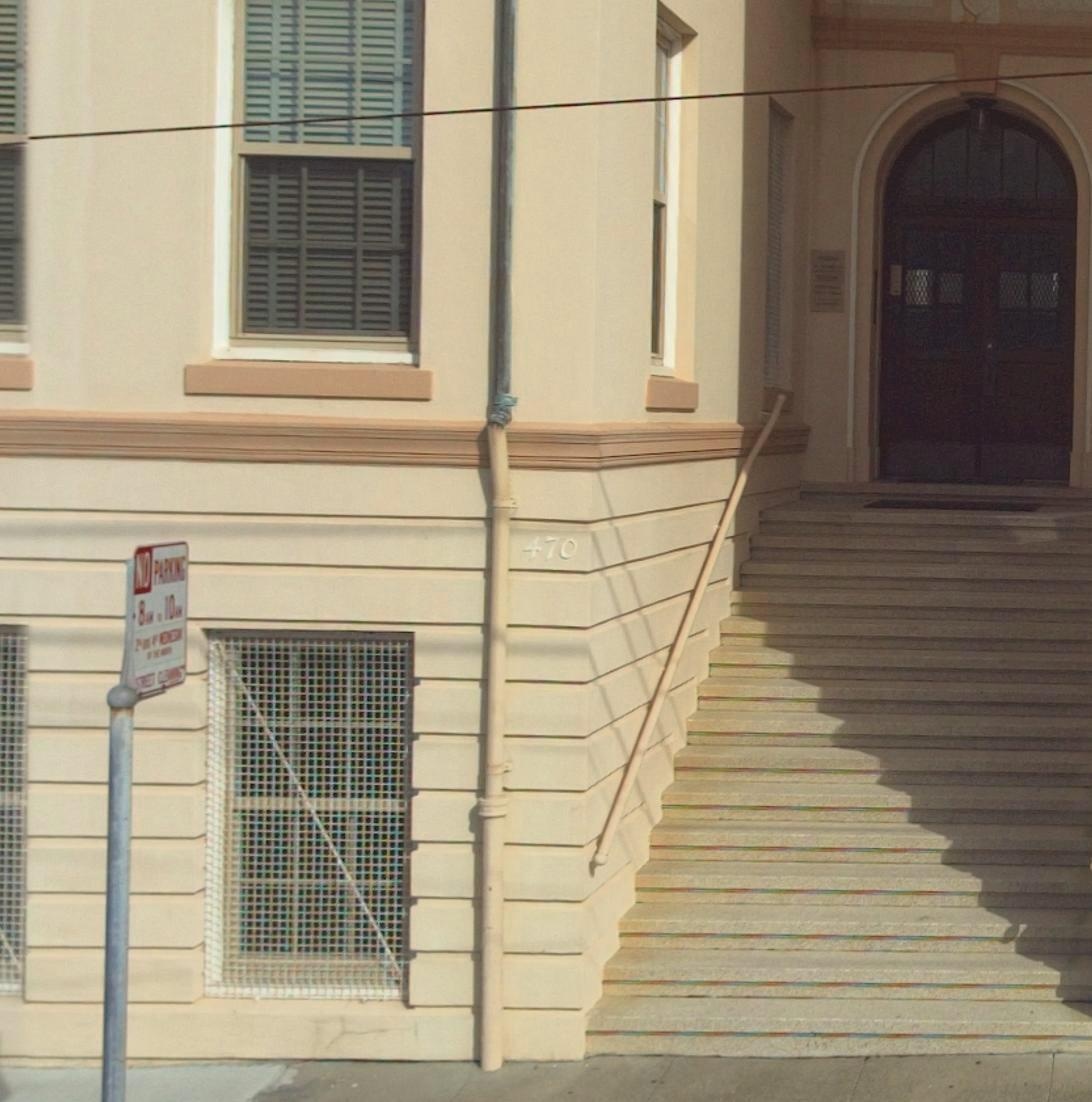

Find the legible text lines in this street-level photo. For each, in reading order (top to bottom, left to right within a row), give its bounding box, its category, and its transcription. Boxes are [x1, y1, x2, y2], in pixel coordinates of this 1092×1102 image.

[521, 534, 579, 560] StreetNumber: 470
[135, 551, 152, 590] None: NO
[136, 598, 146, 628] None: 8
[161, 592, 177, 622] None: 10